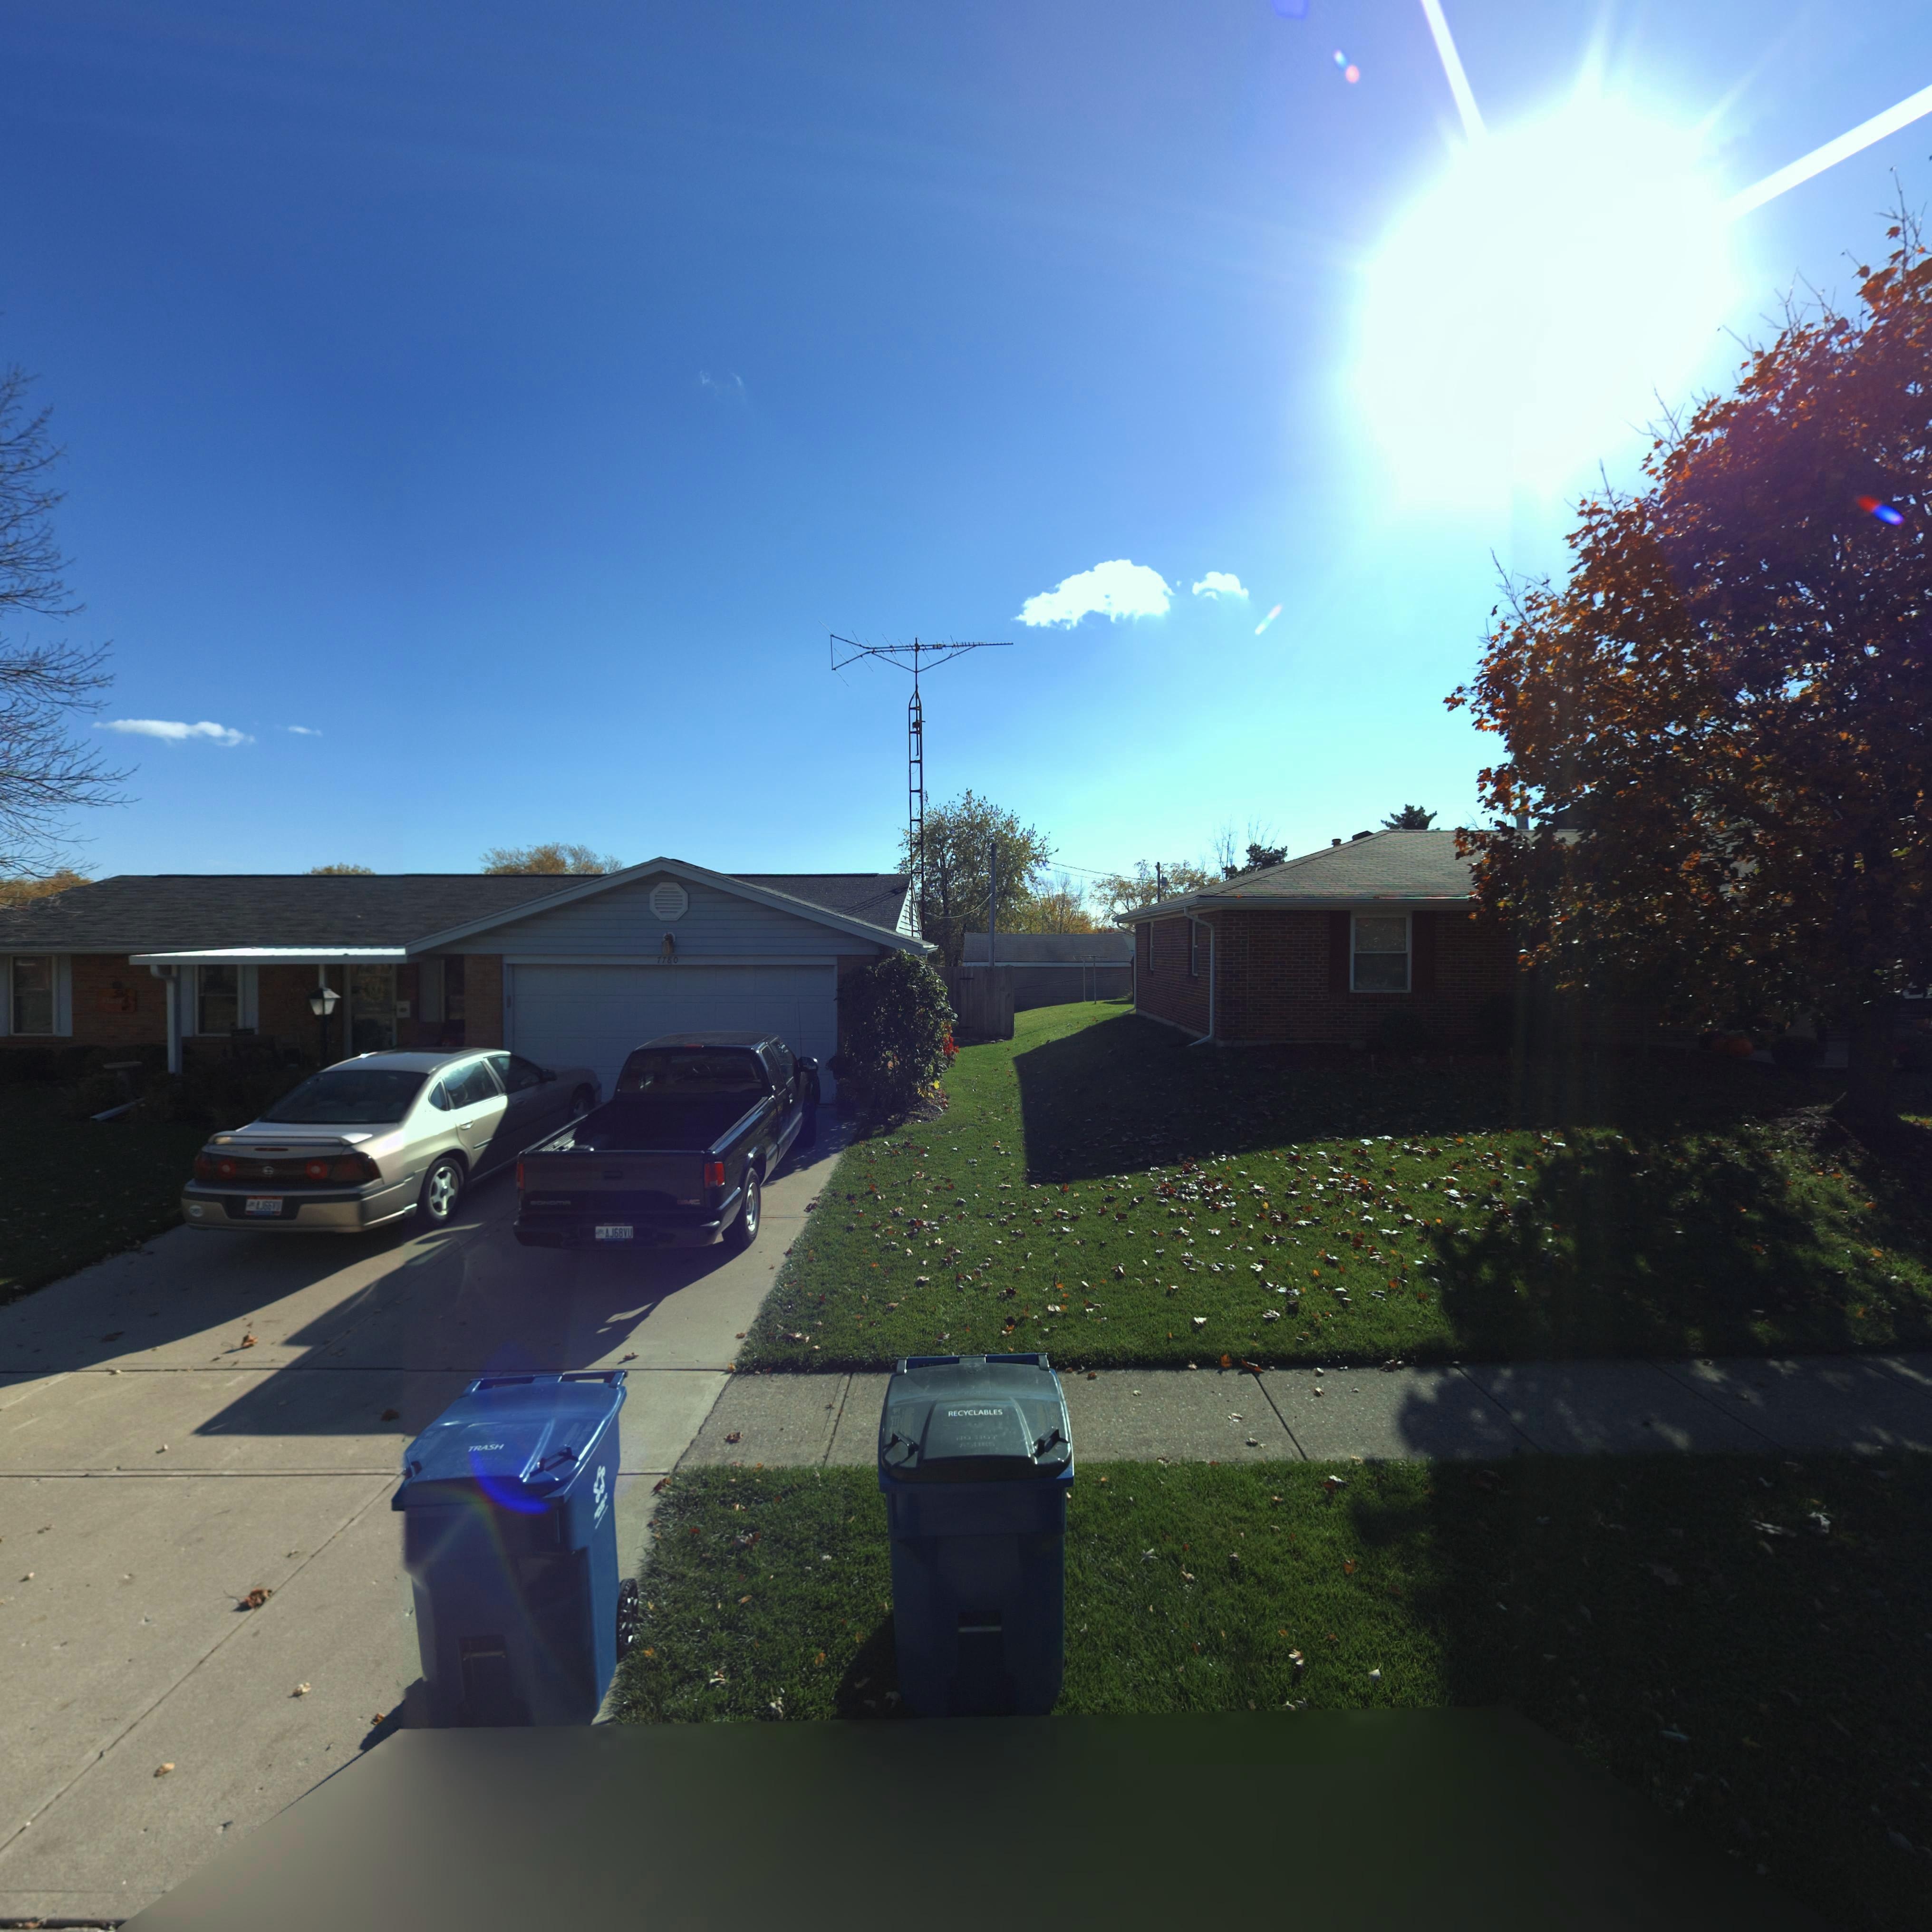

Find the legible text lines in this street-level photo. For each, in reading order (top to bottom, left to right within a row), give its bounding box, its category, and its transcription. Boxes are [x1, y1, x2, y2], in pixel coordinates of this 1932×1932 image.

[656, 955, 679, 965] StreetNumber: 7780